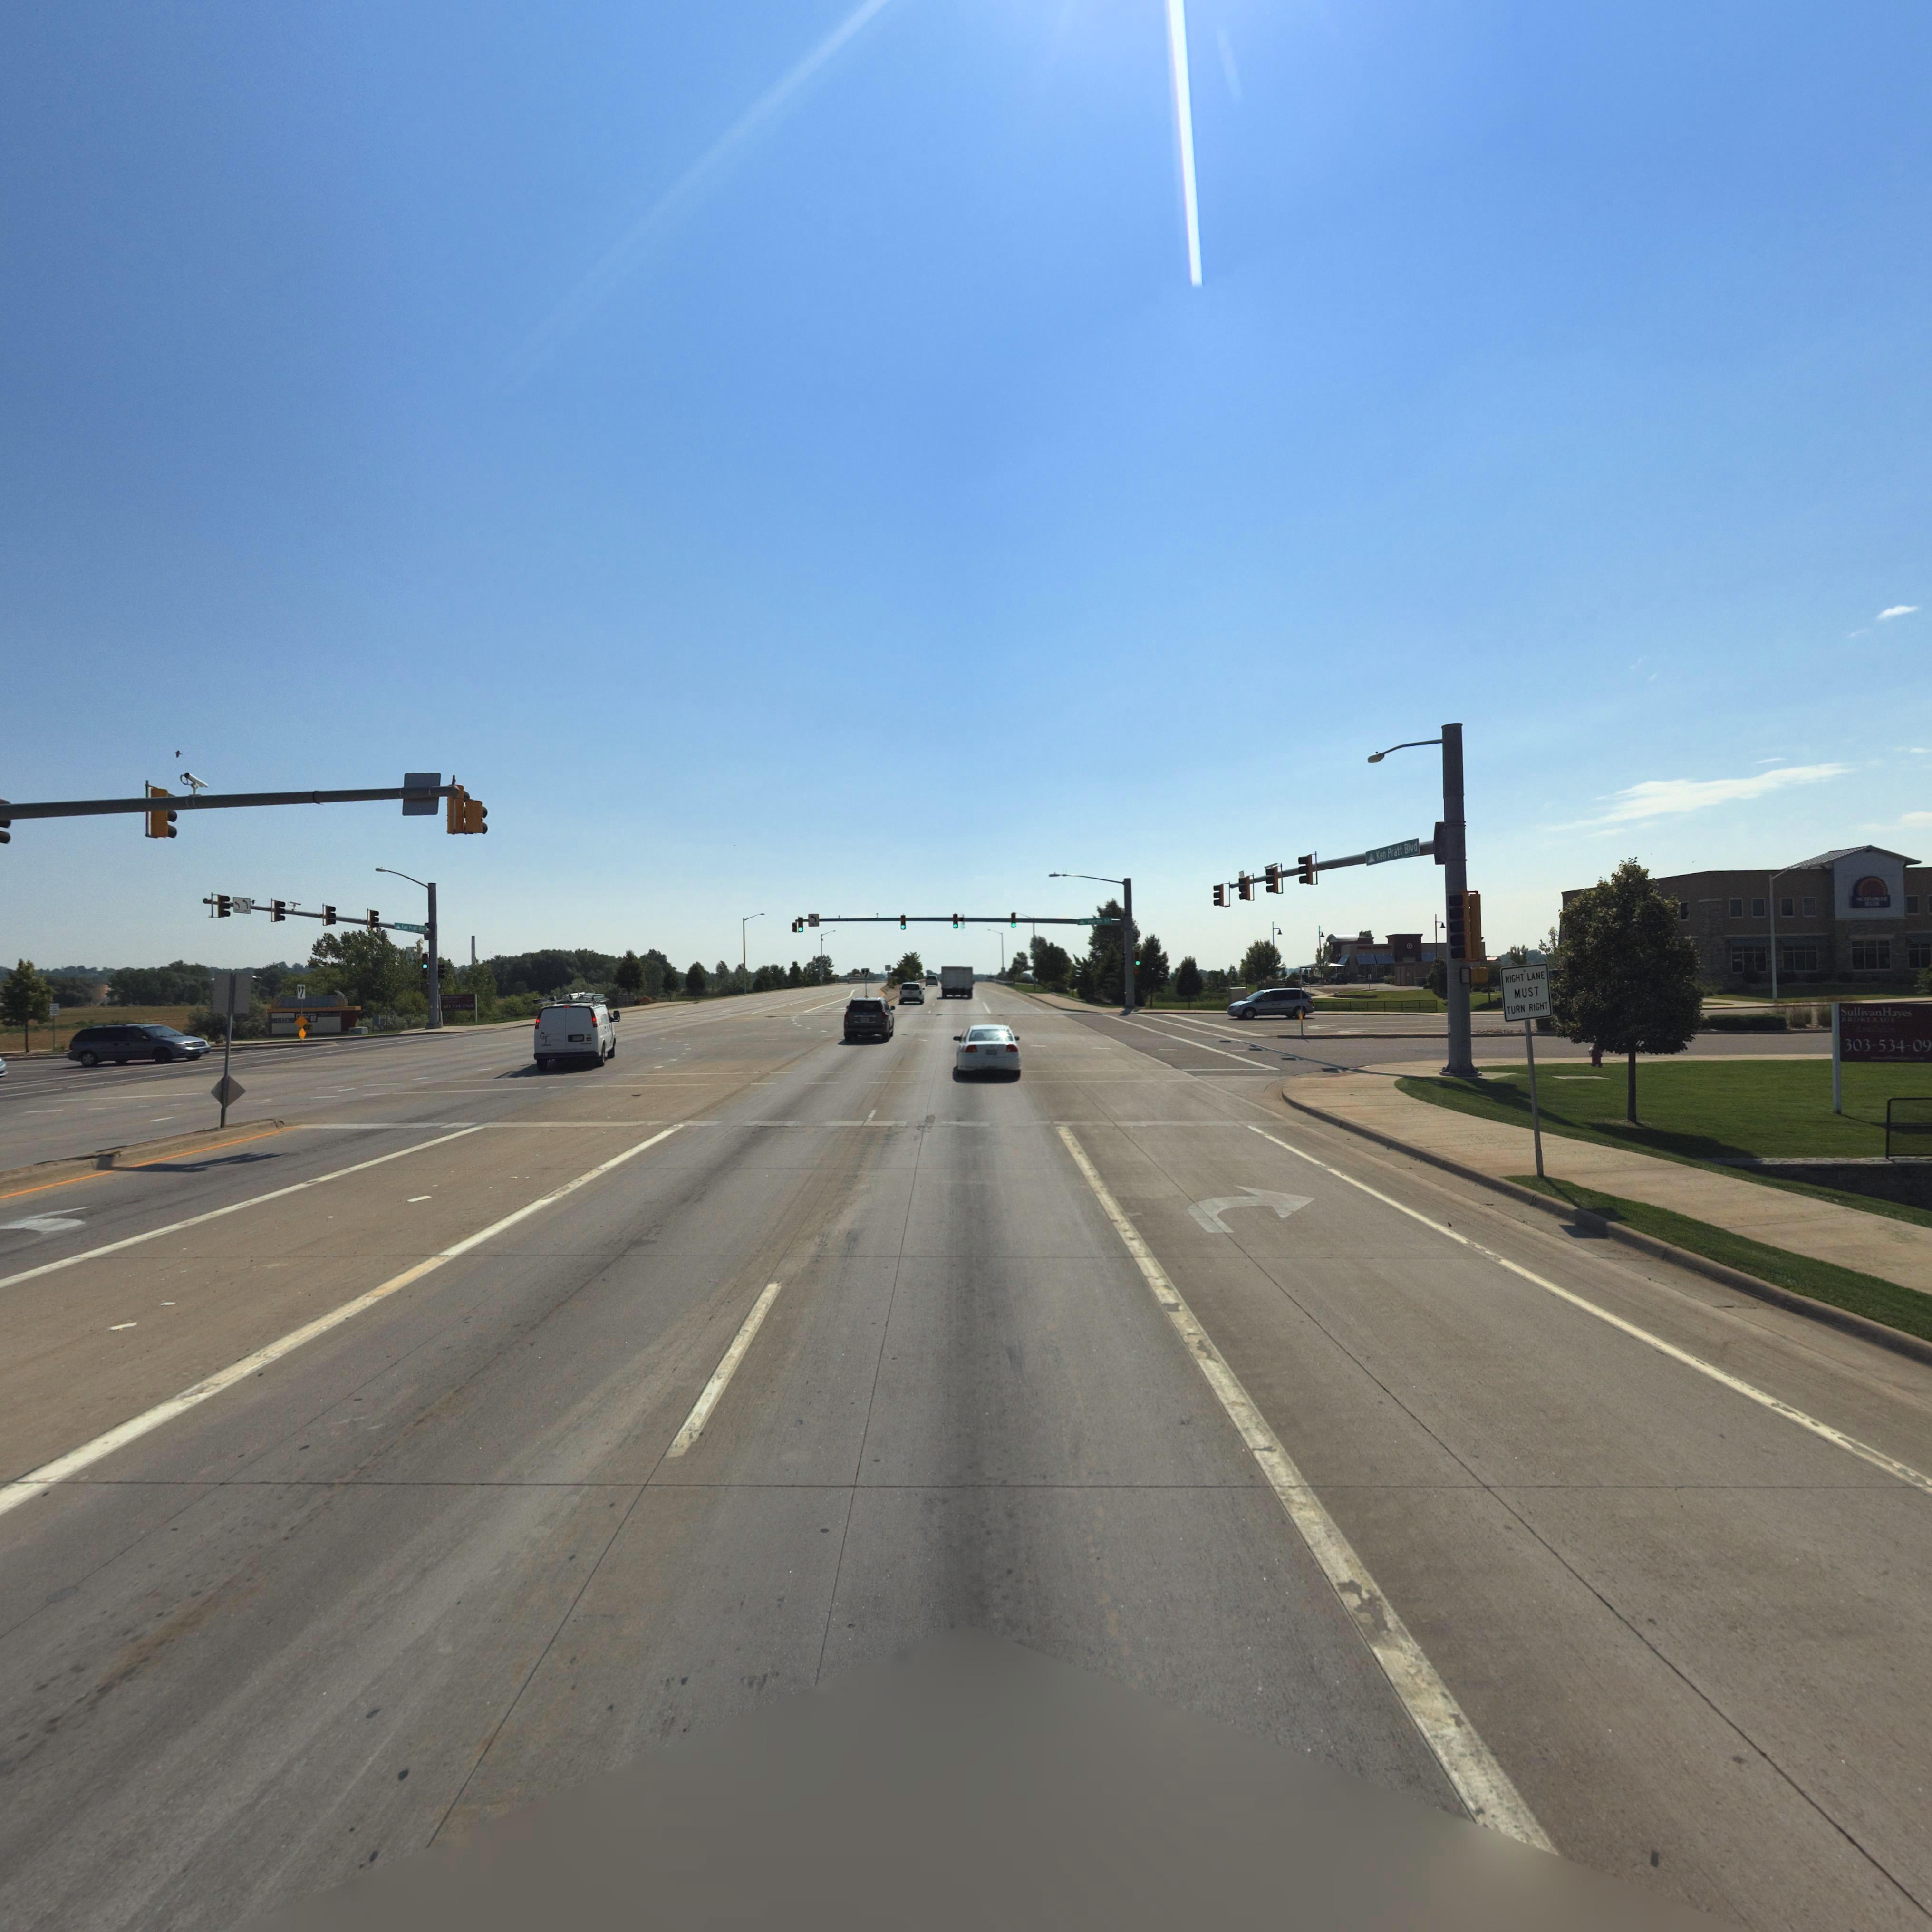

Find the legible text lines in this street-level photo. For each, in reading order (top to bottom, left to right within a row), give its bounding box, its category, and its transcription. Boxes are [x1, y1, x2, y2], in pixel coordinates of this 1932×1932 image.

[1375, 840, 1418, 861] StreetName: Ken Pratt Blvd
[1087, 918, 1111, 924] StreetName: M**tin St
[401, 924, 426, 932] StreetName: K** P**tt B***
[318, 1011, 330, 1017] BusinessName: D*W
[276, 1018, 290, 1023] BusinessName: ULTA